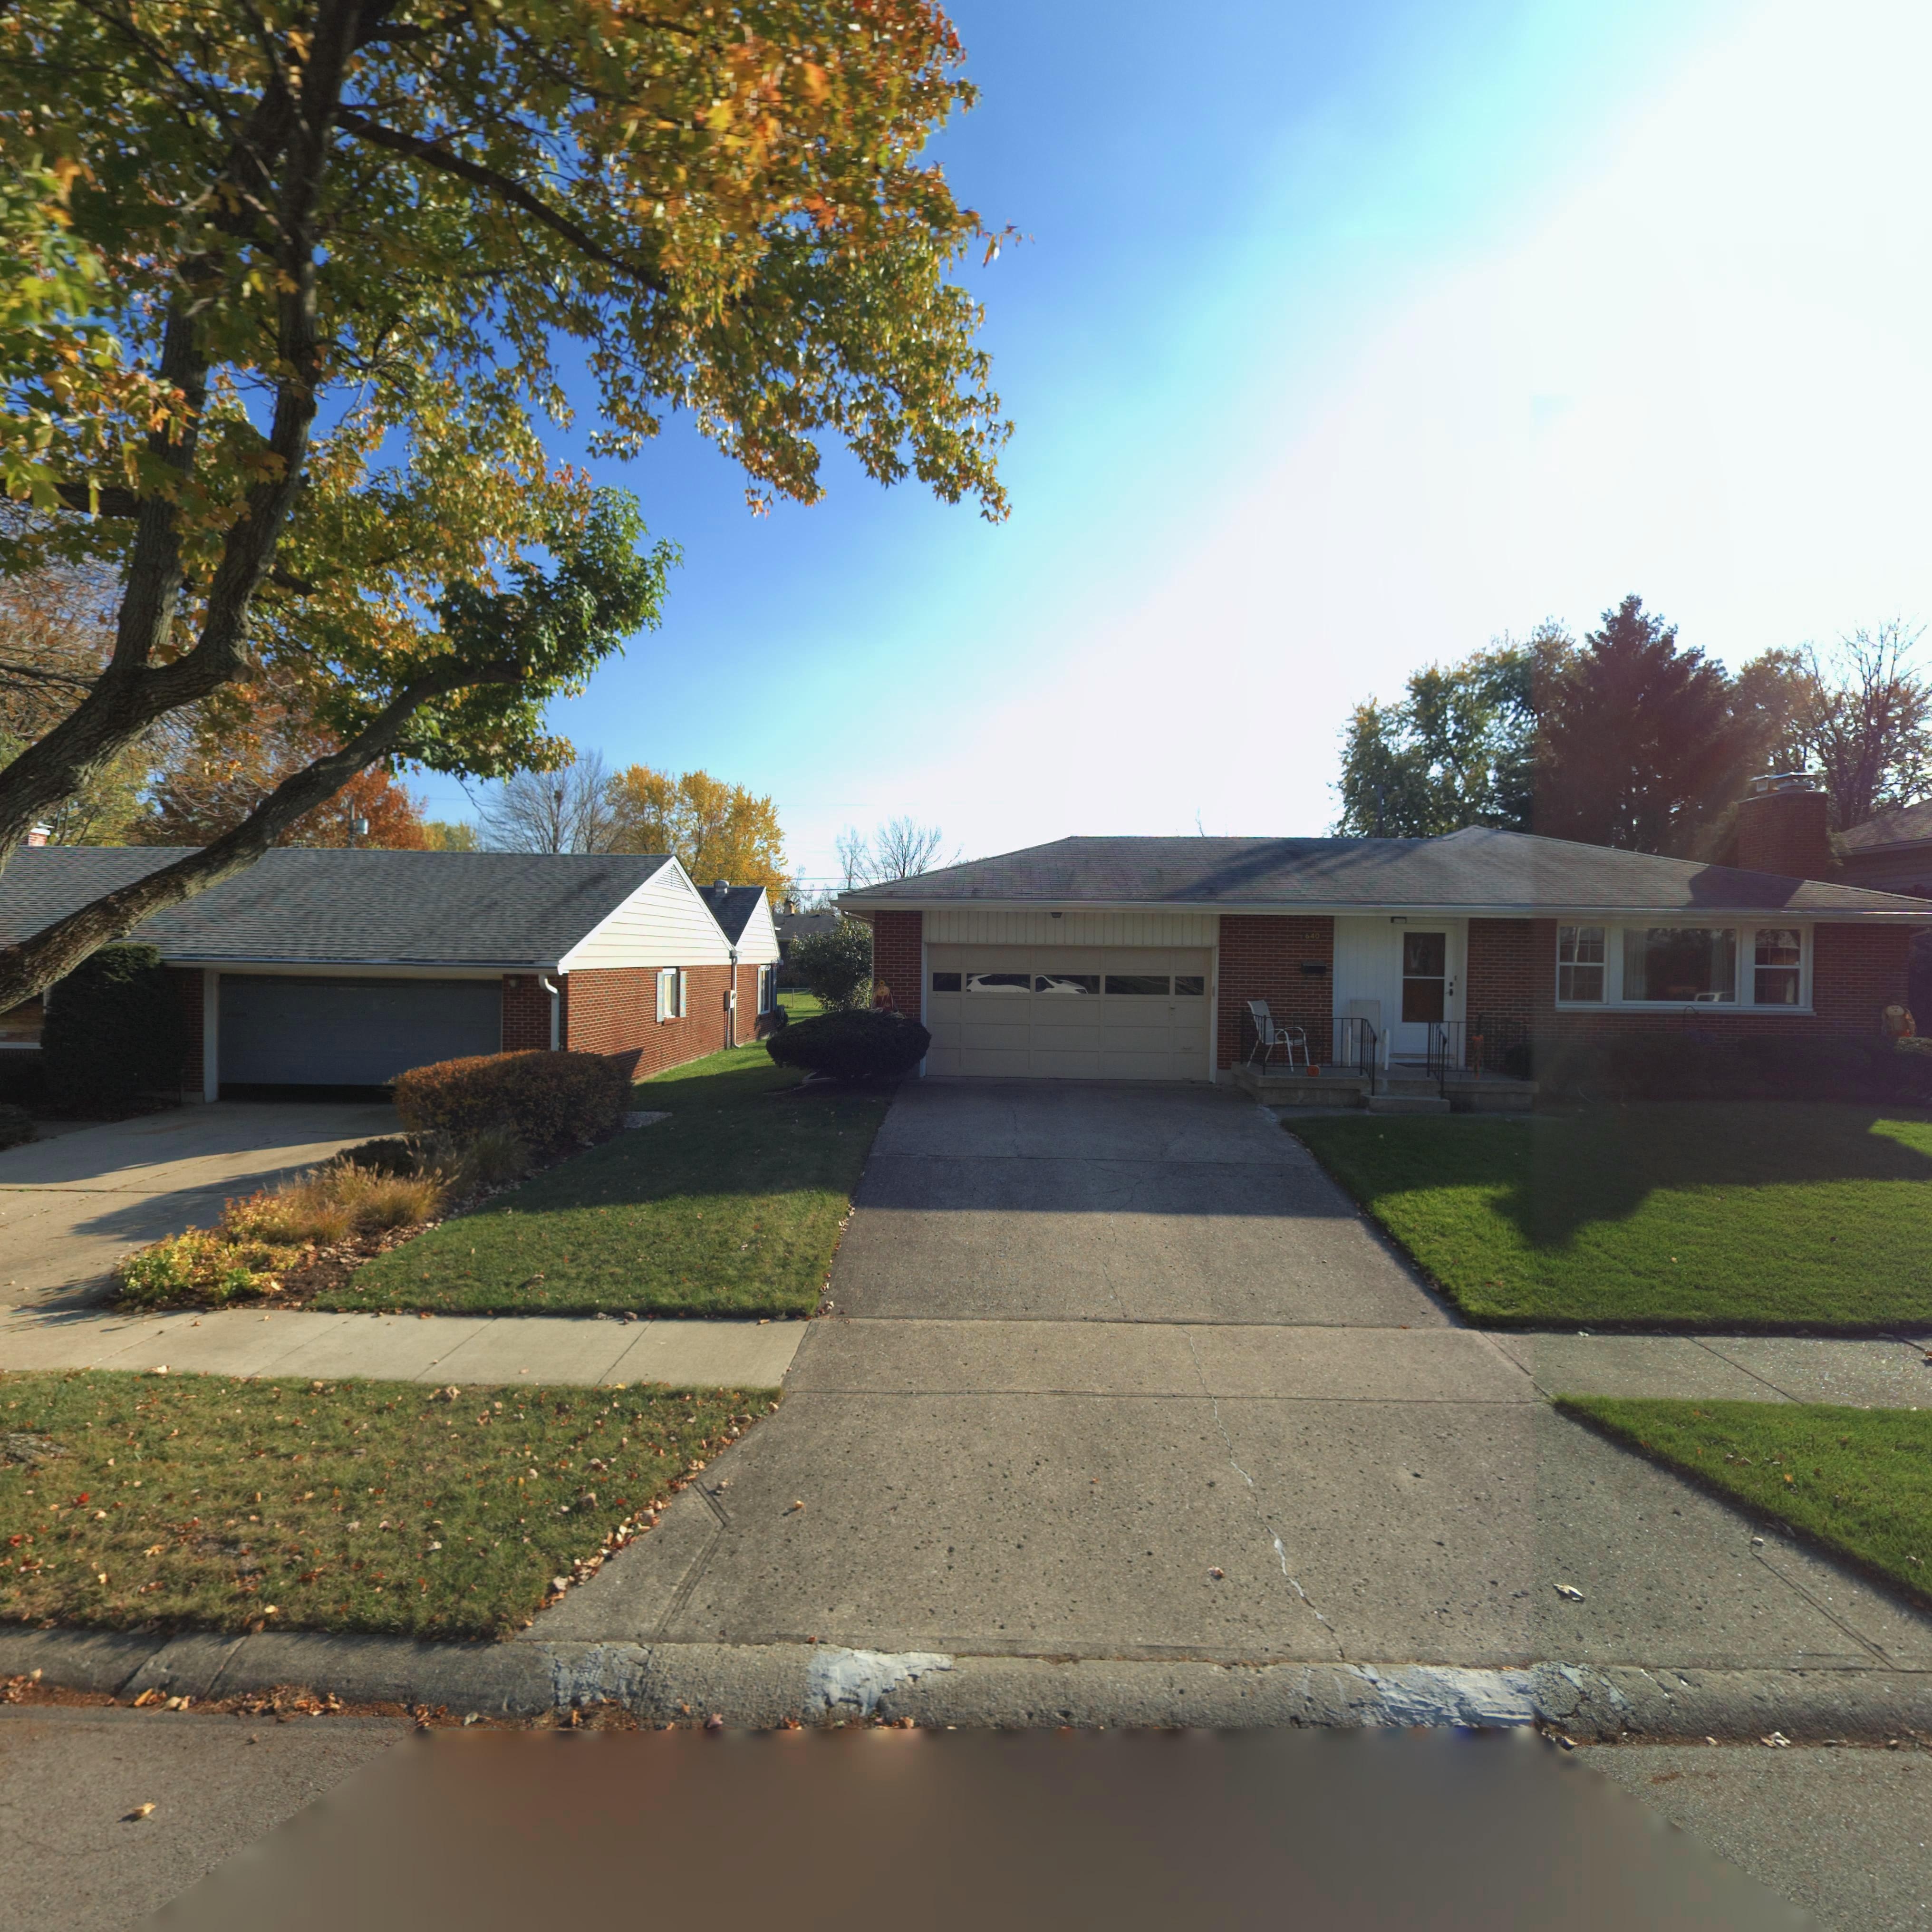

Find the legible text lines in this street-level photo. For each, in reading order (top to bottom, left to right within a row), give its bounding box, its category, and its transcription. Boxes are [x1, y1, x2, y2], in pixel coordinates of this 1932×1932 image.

[1304, 932, 1321, 939] StreetNumber: 640